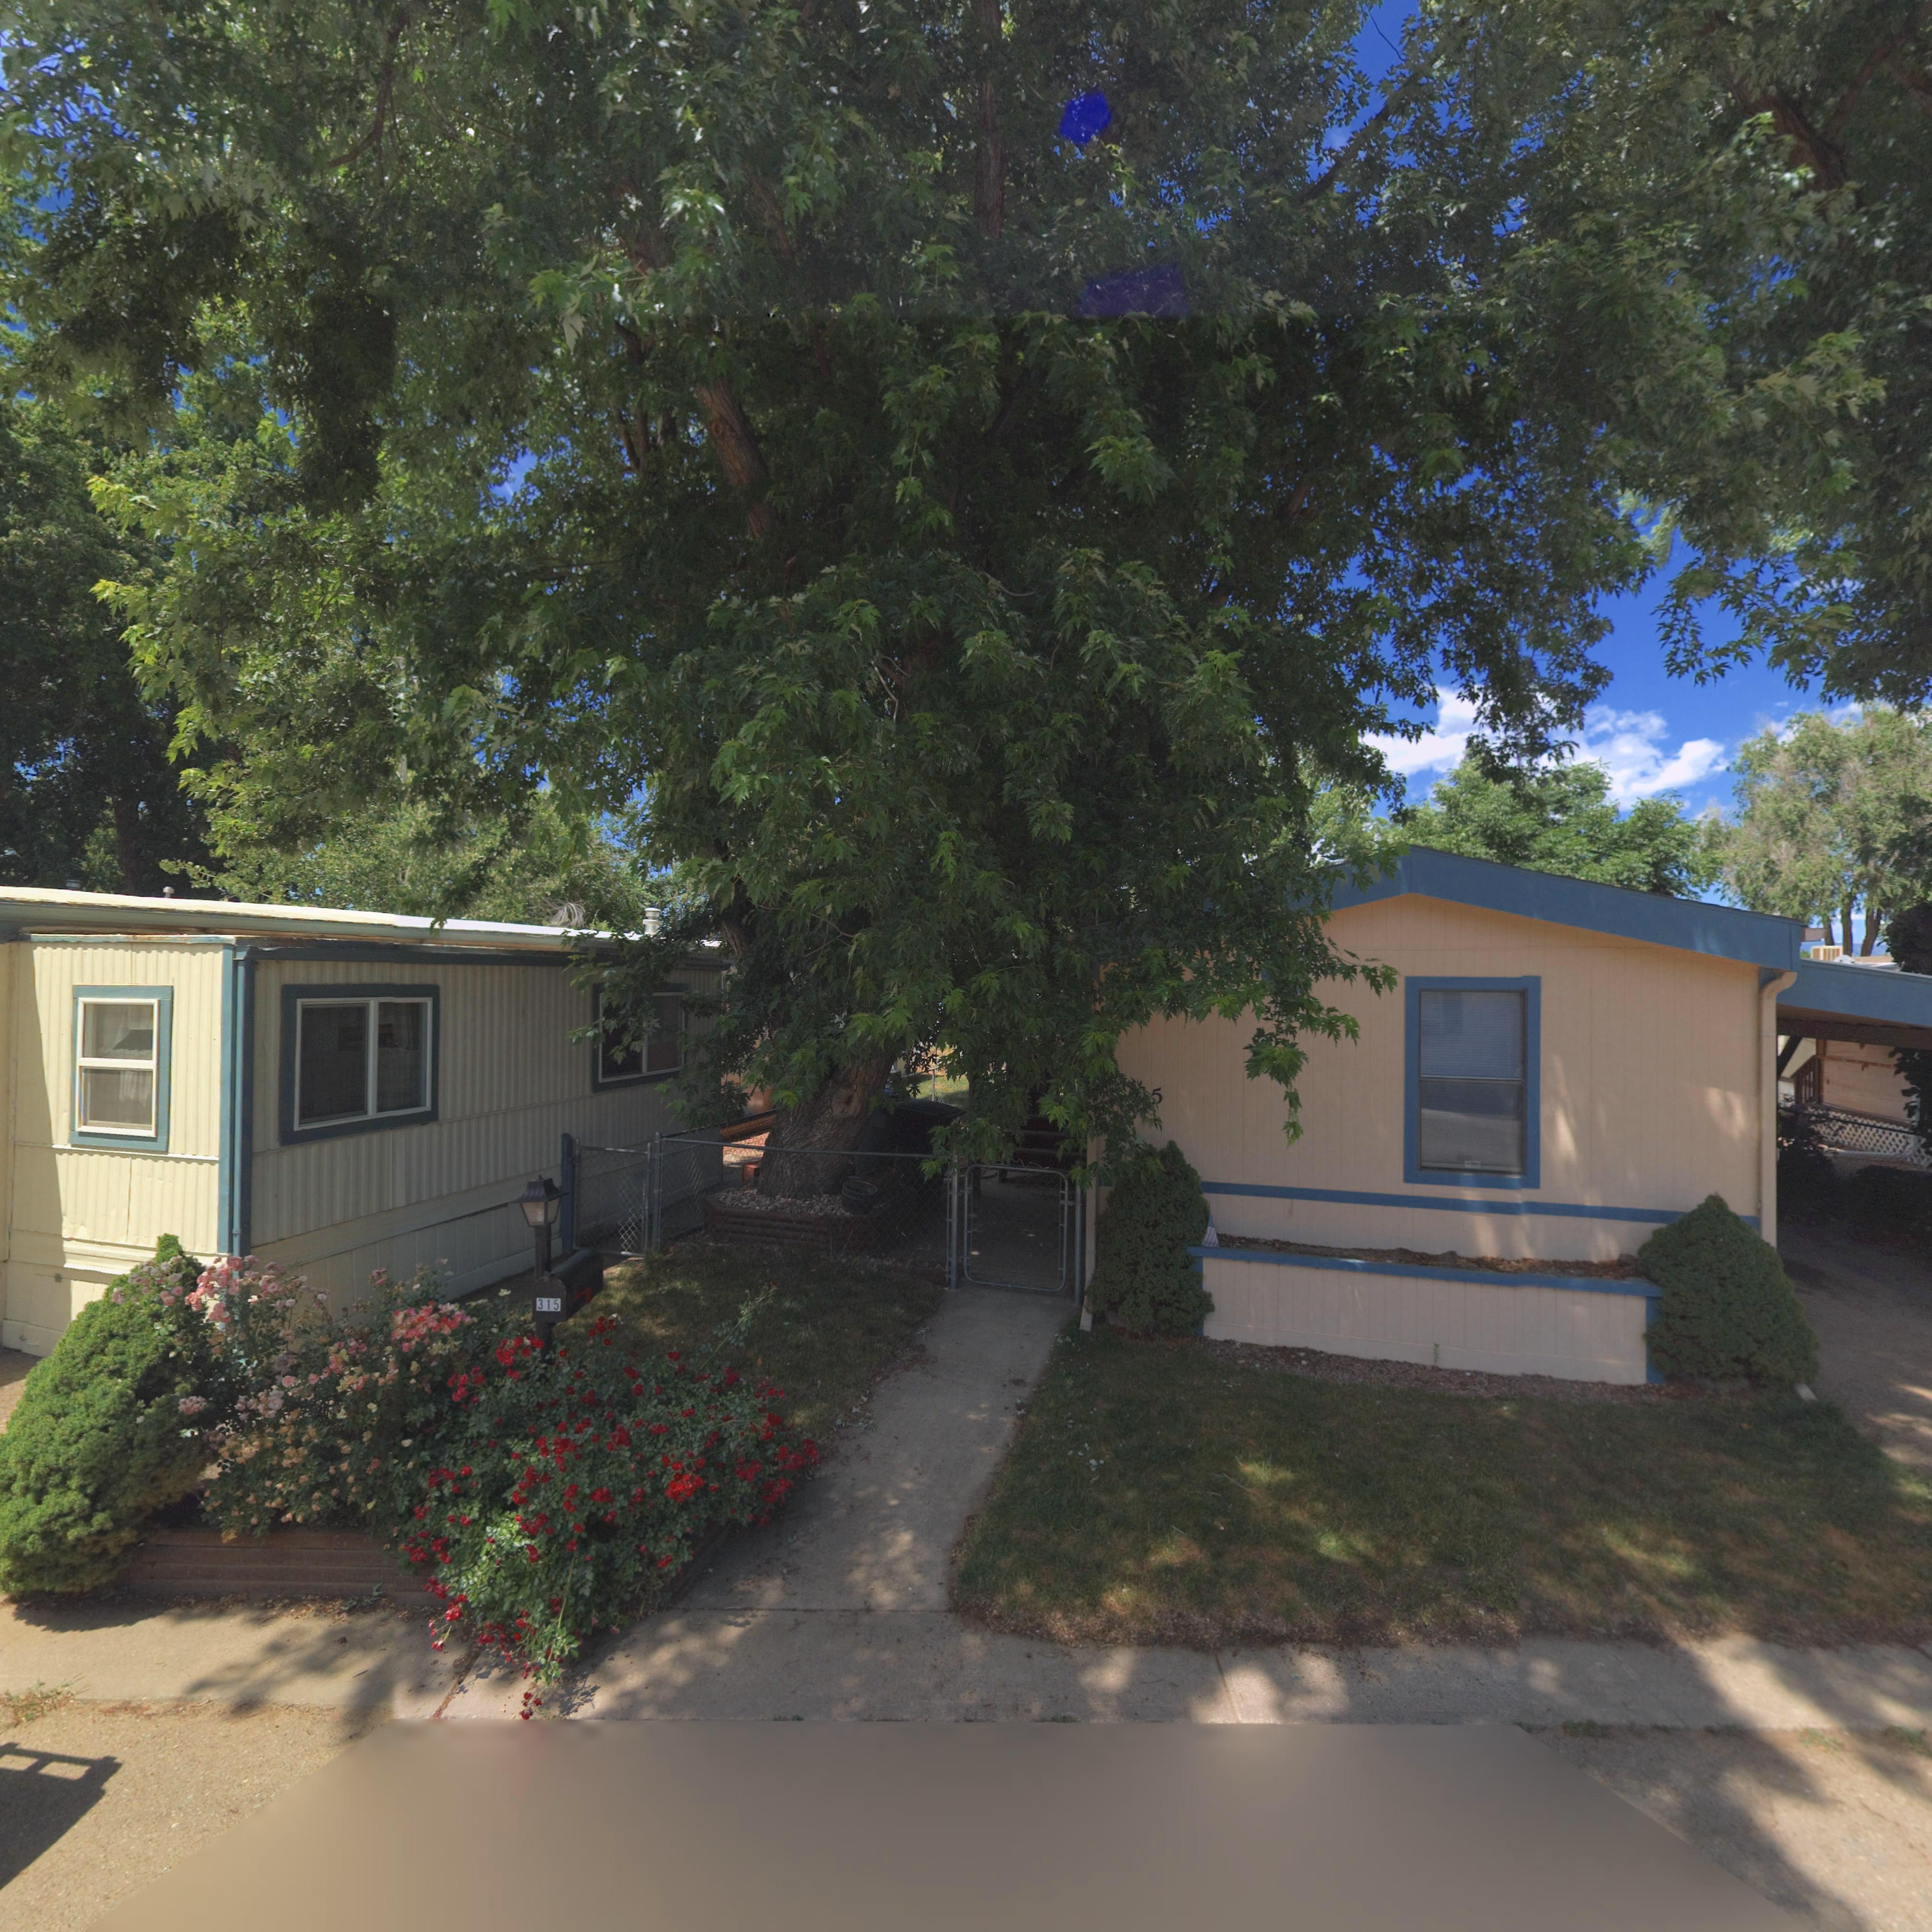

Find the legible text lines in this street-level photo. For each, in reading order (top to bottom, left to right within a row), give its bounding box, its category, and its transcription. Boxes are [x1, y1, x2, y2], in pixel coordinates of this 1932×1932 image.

[1127, 1084, 1162, 1121] StreetNumber: **5
[538, 1298, 560, 1311] StreetNumber: 315